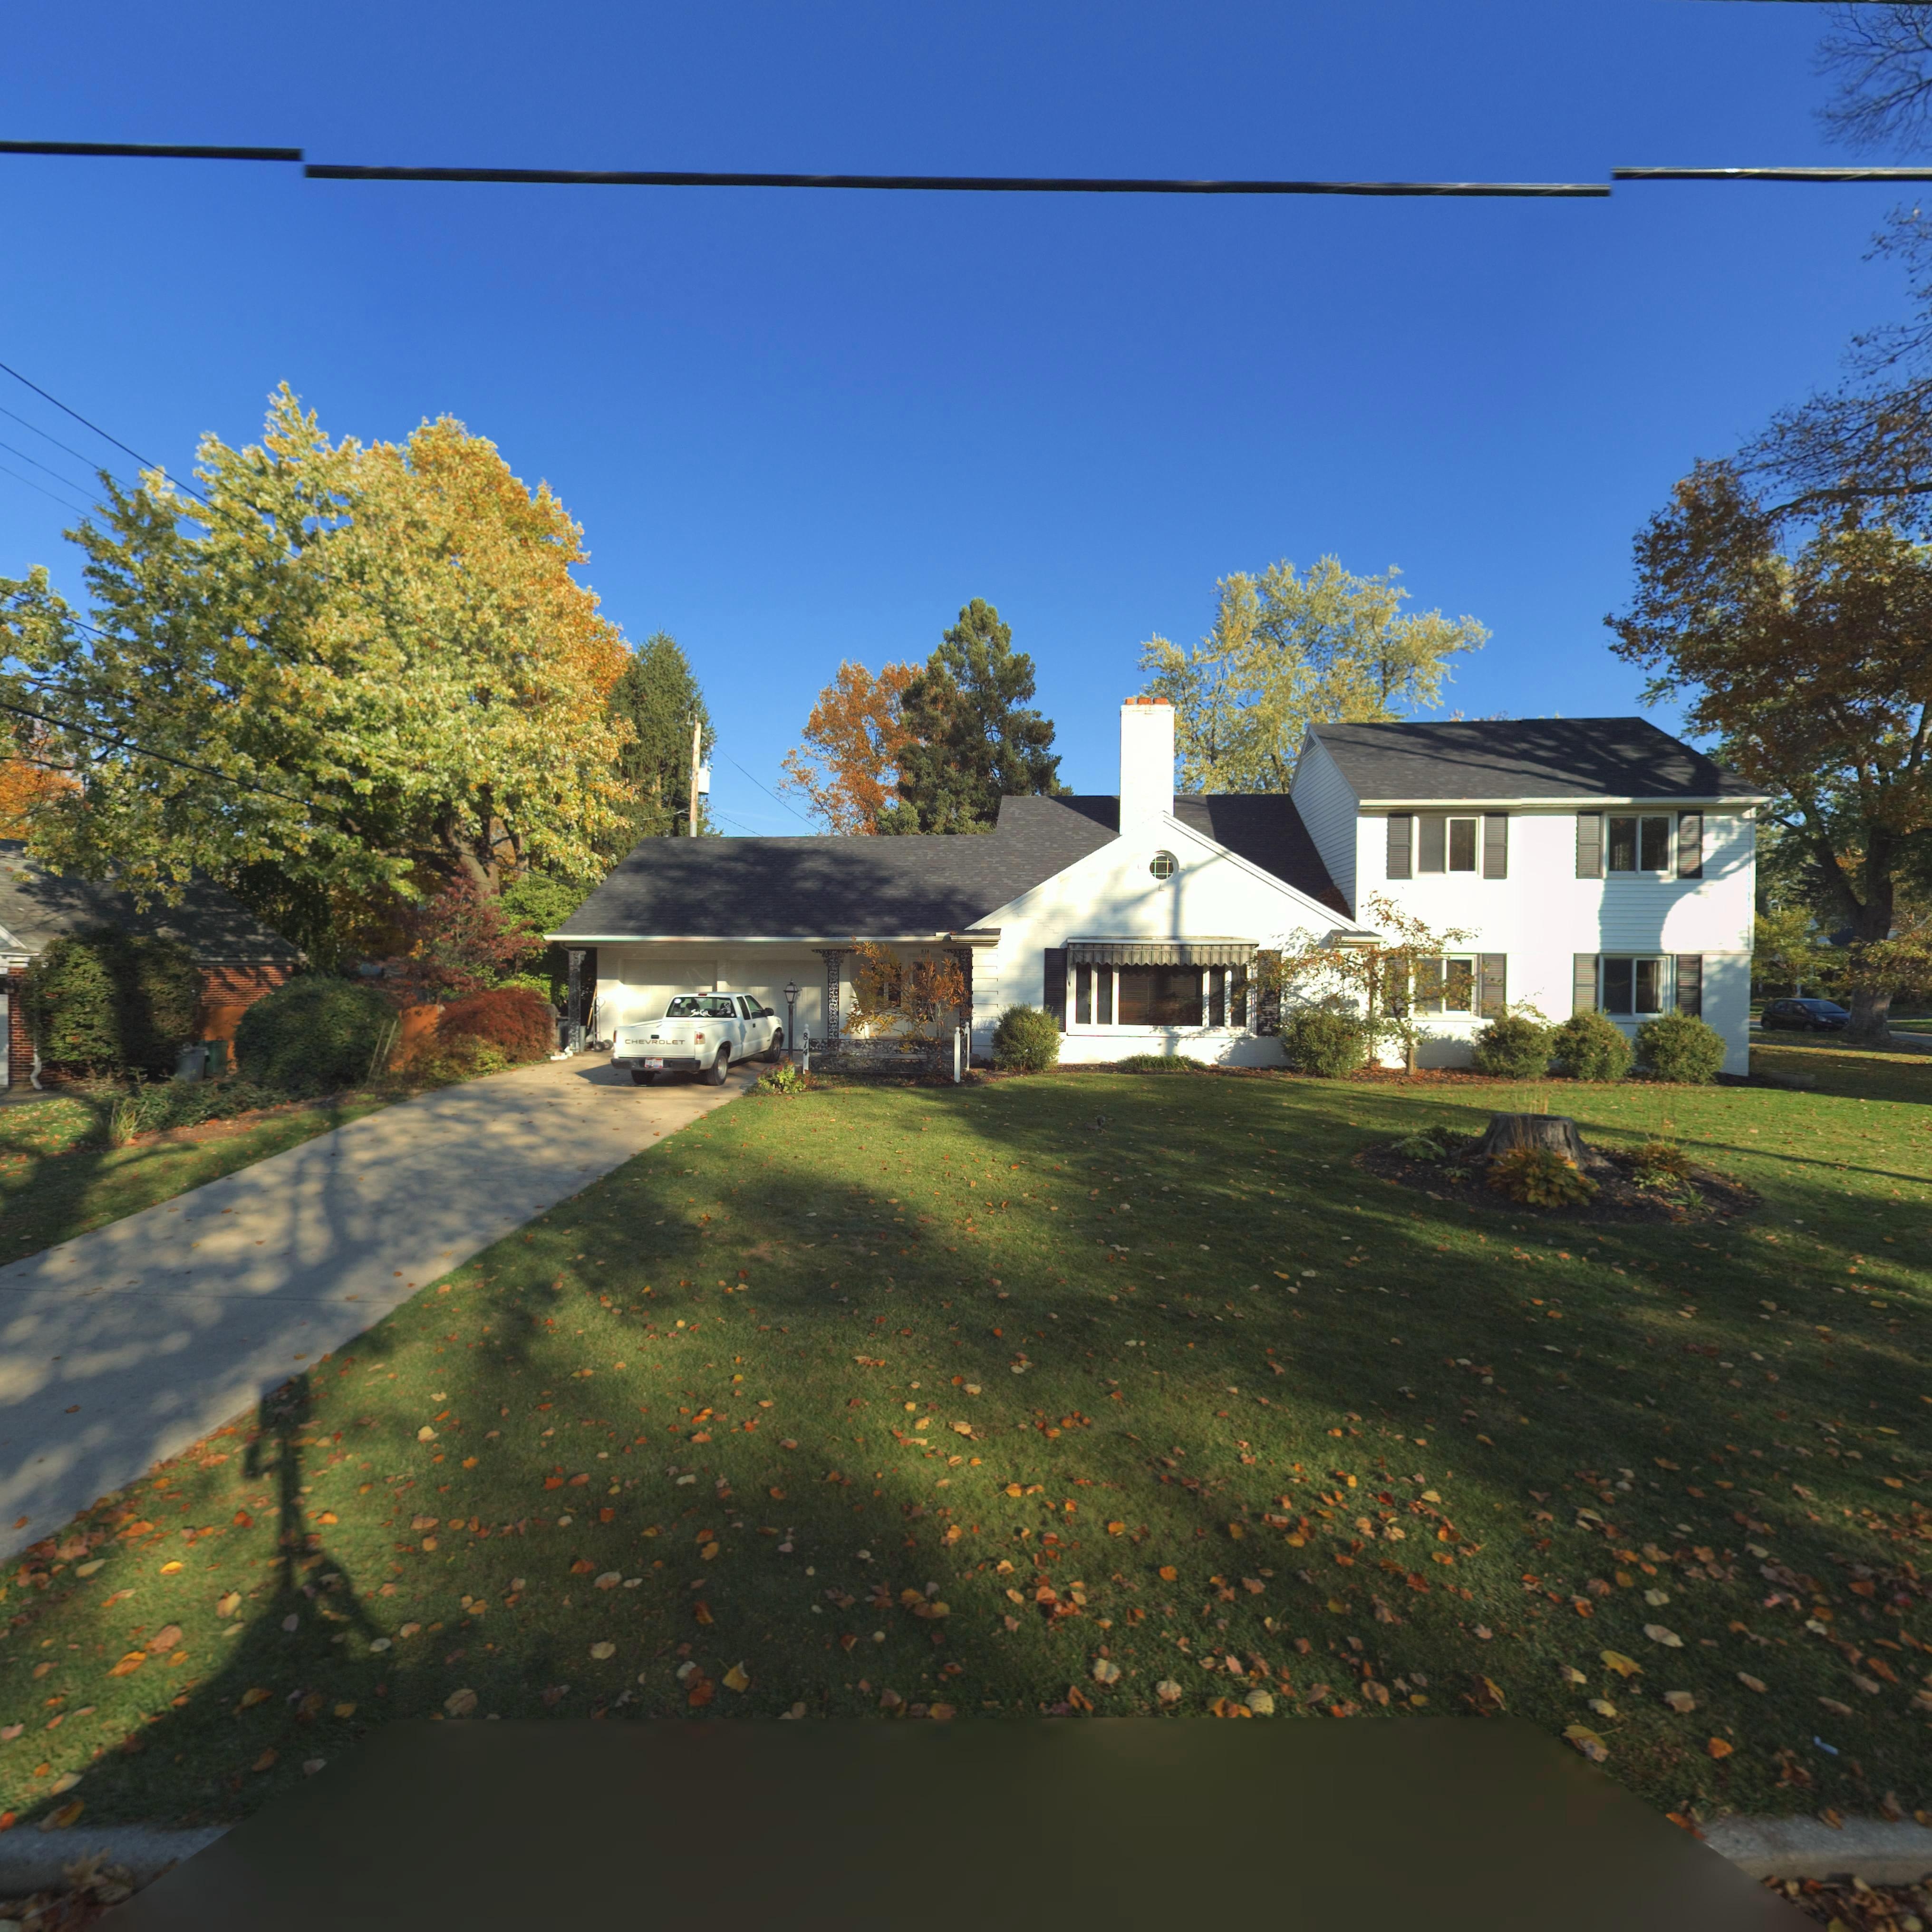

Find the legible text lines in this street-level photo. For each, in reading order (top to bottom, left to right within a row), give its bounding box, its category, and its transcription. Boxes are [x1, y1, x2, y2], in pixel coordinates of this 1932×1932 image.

[921, 948, 929, 954] StreetNumber: 814
[802, 1032, 809, 1056] StreetNumber: 814